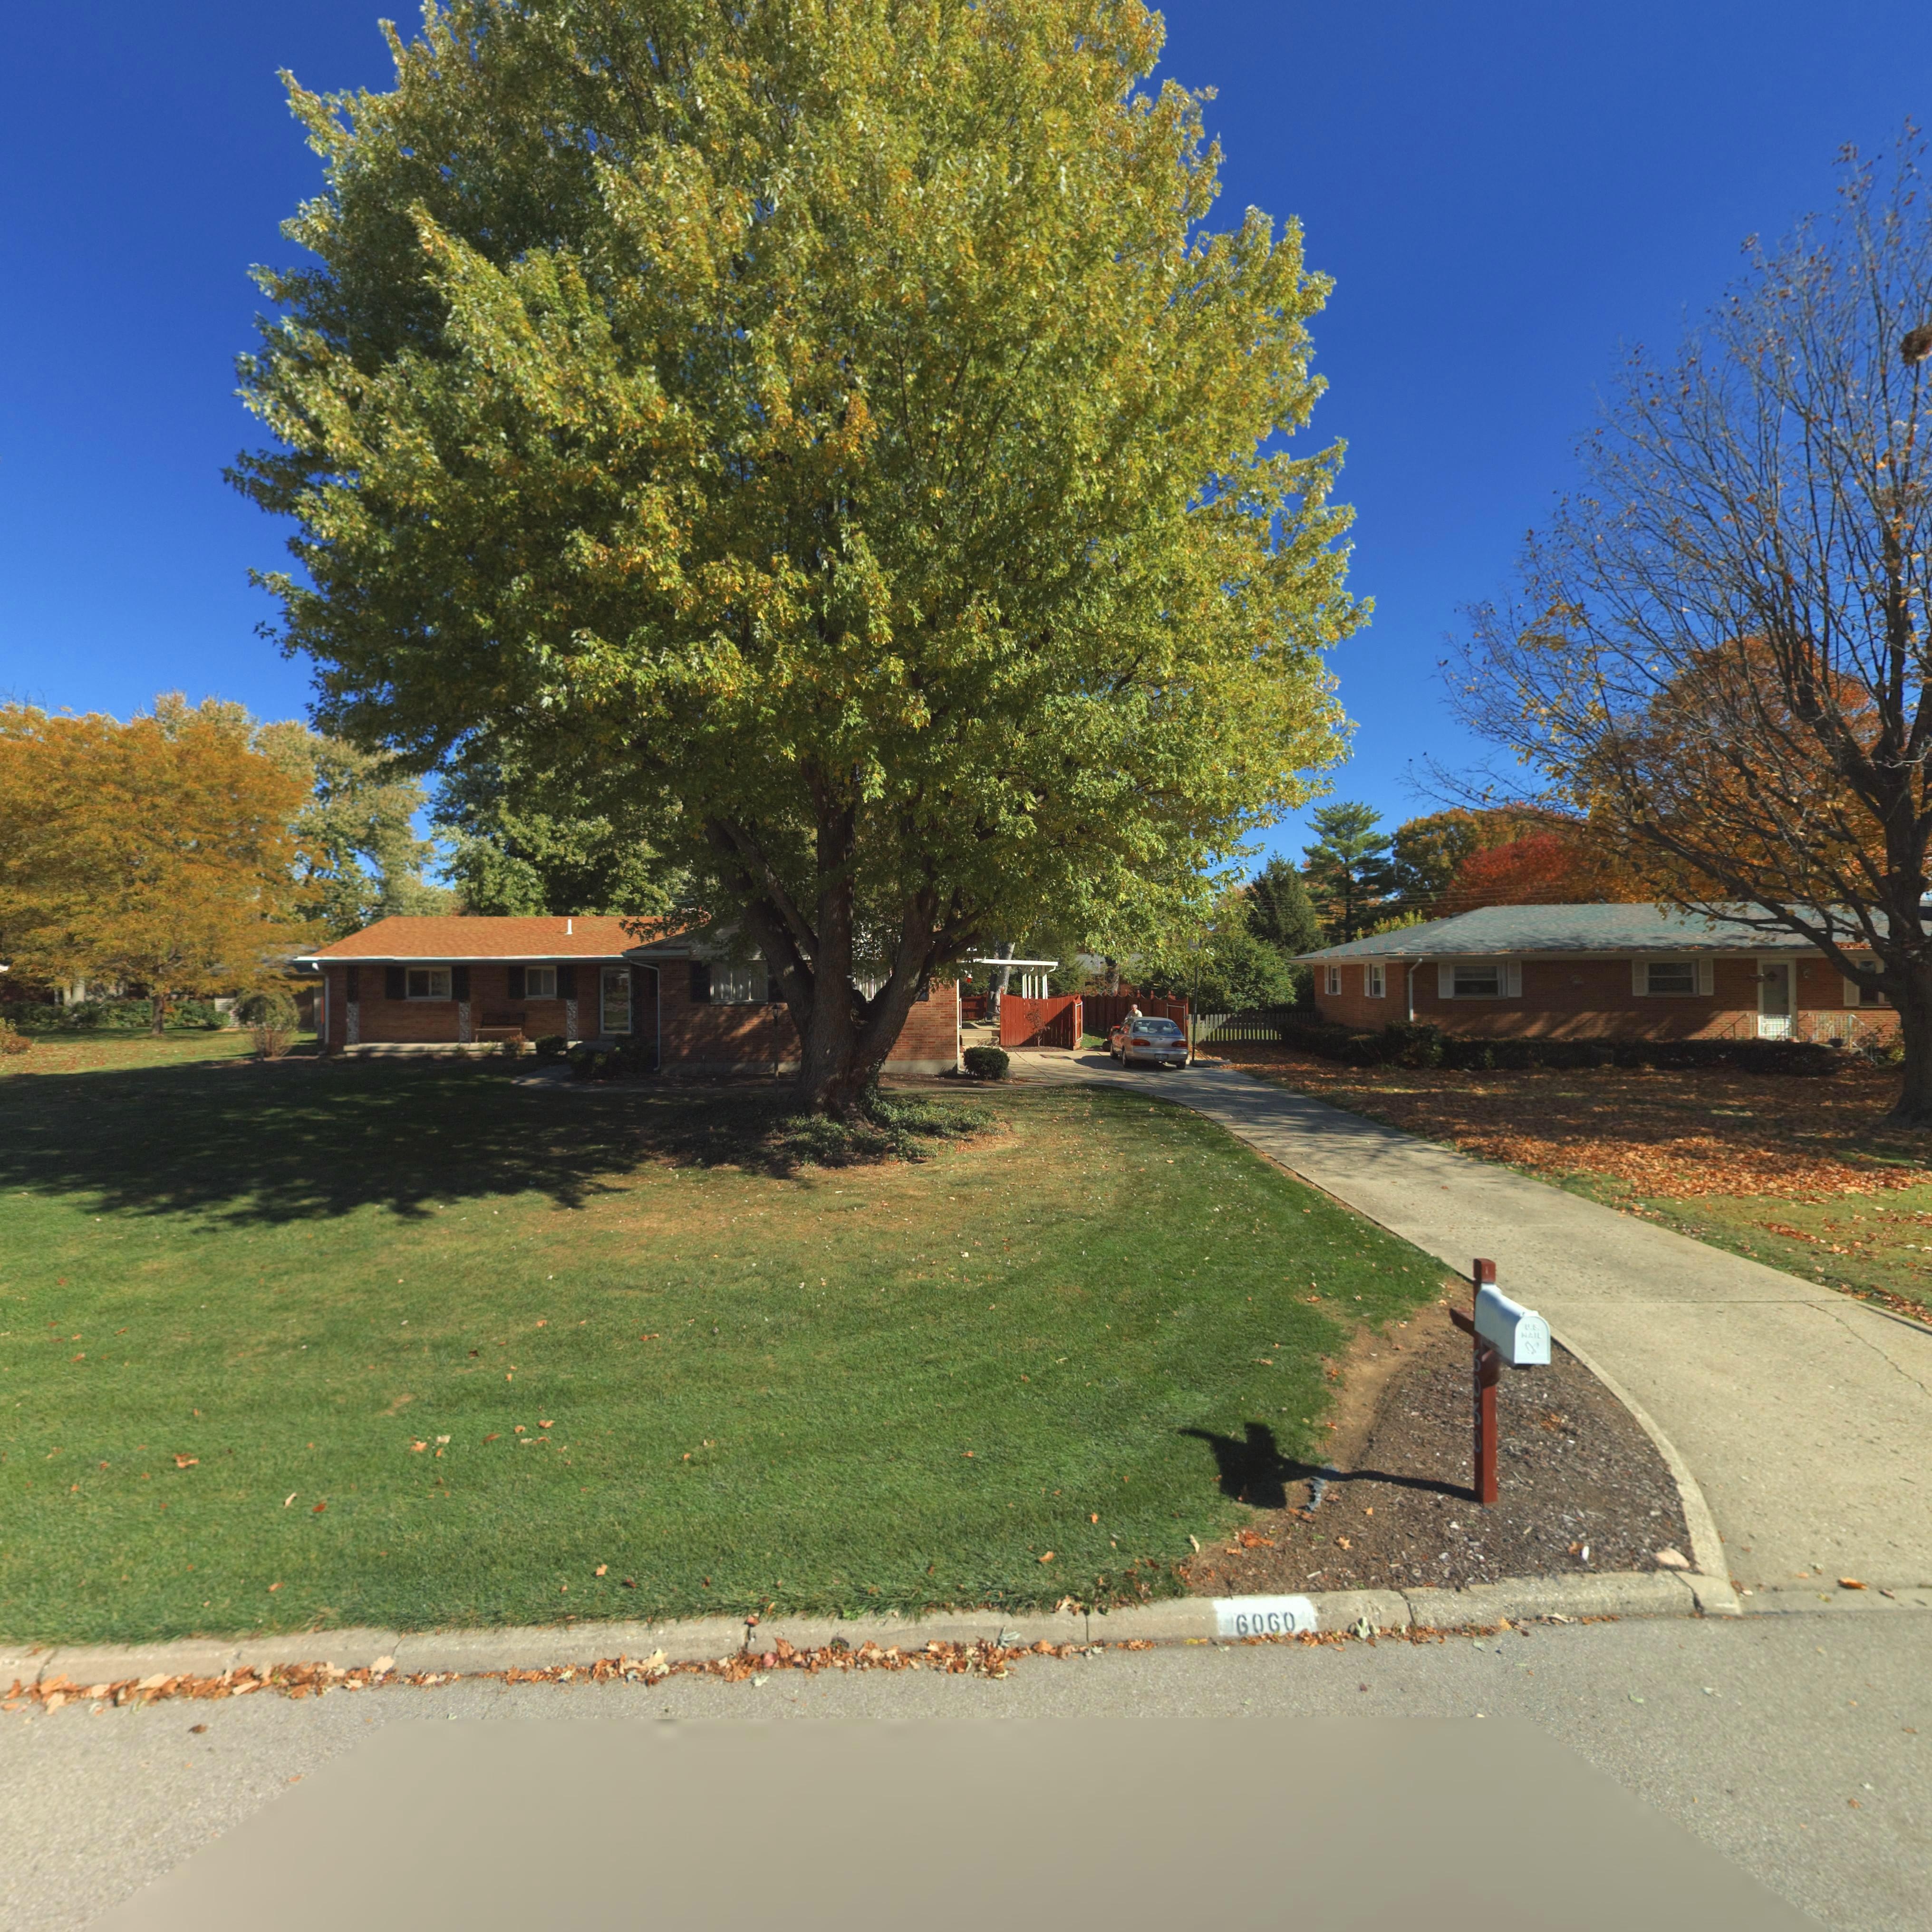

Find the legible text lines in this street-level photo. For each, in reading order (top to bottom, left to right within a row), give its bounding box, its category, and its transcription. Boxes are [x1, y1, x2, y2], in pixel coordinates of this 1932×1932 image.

[1472, 1346, 1481, 1455] StreetNumber: 6060
[1236, 1611, 1296, 1637] StreetNumber: 6060